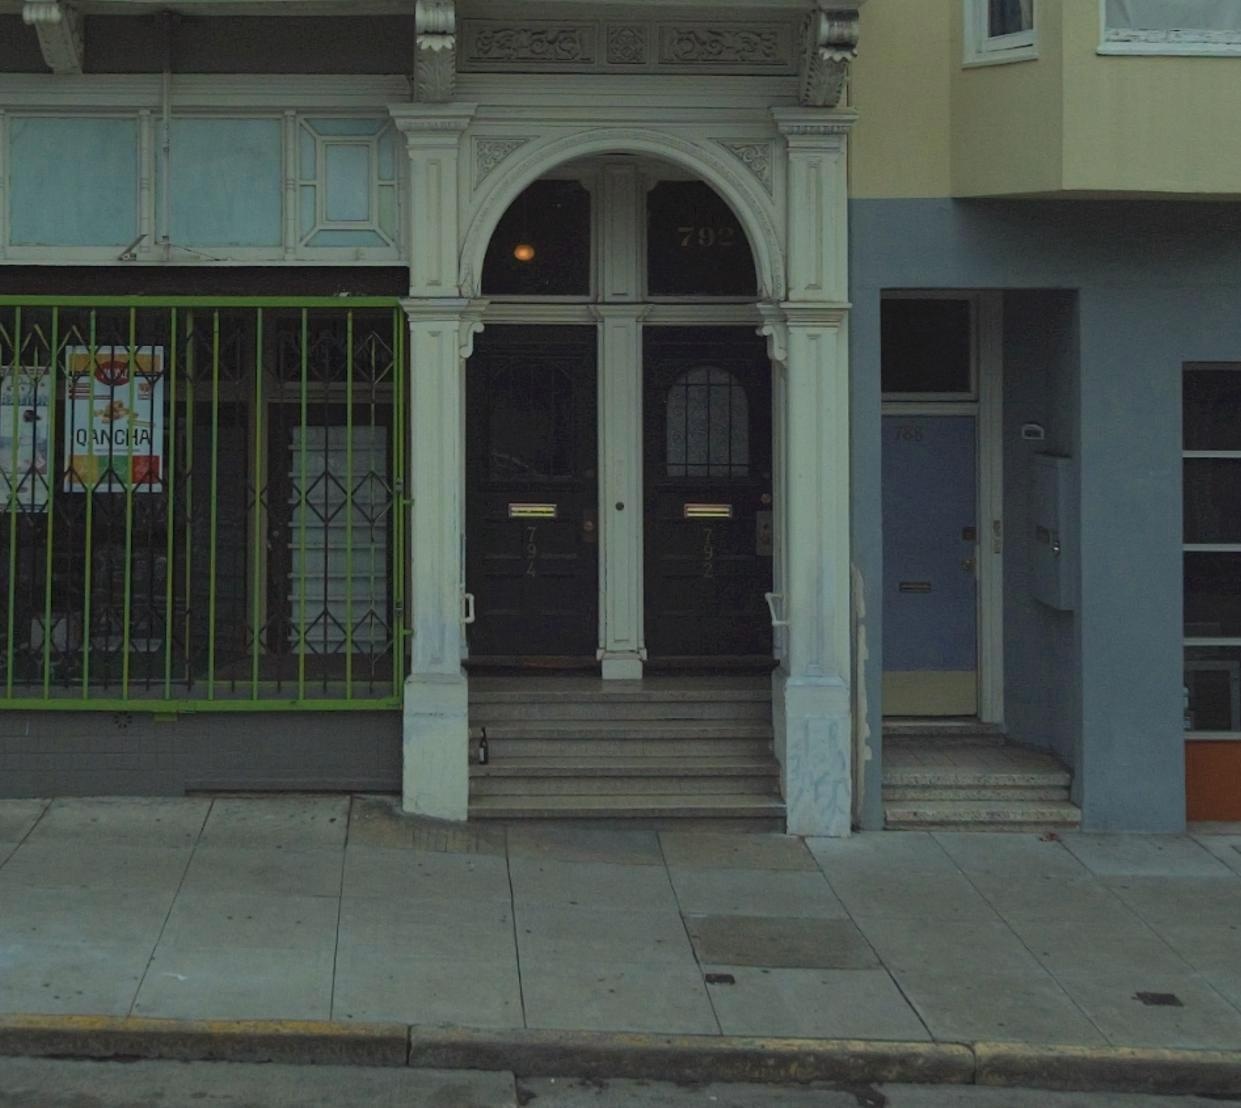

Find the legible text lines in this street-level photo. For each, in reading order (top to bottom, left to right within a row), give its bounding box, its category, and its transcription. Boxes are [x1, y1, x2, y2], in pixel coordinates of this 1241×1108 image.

[675, 224, 738, 250] StreetNumber: 792
[75, 425, 88, 448] None: Q
[112, 426, 128, 448] None: C
[137, 427, 152, 446] None: A
[891, 424, 926, 443] StreetNumber: 788
[523, 524, 539, 579] StreetNumber: 794
[702, 526, 715, 579] StreetNumber: 792